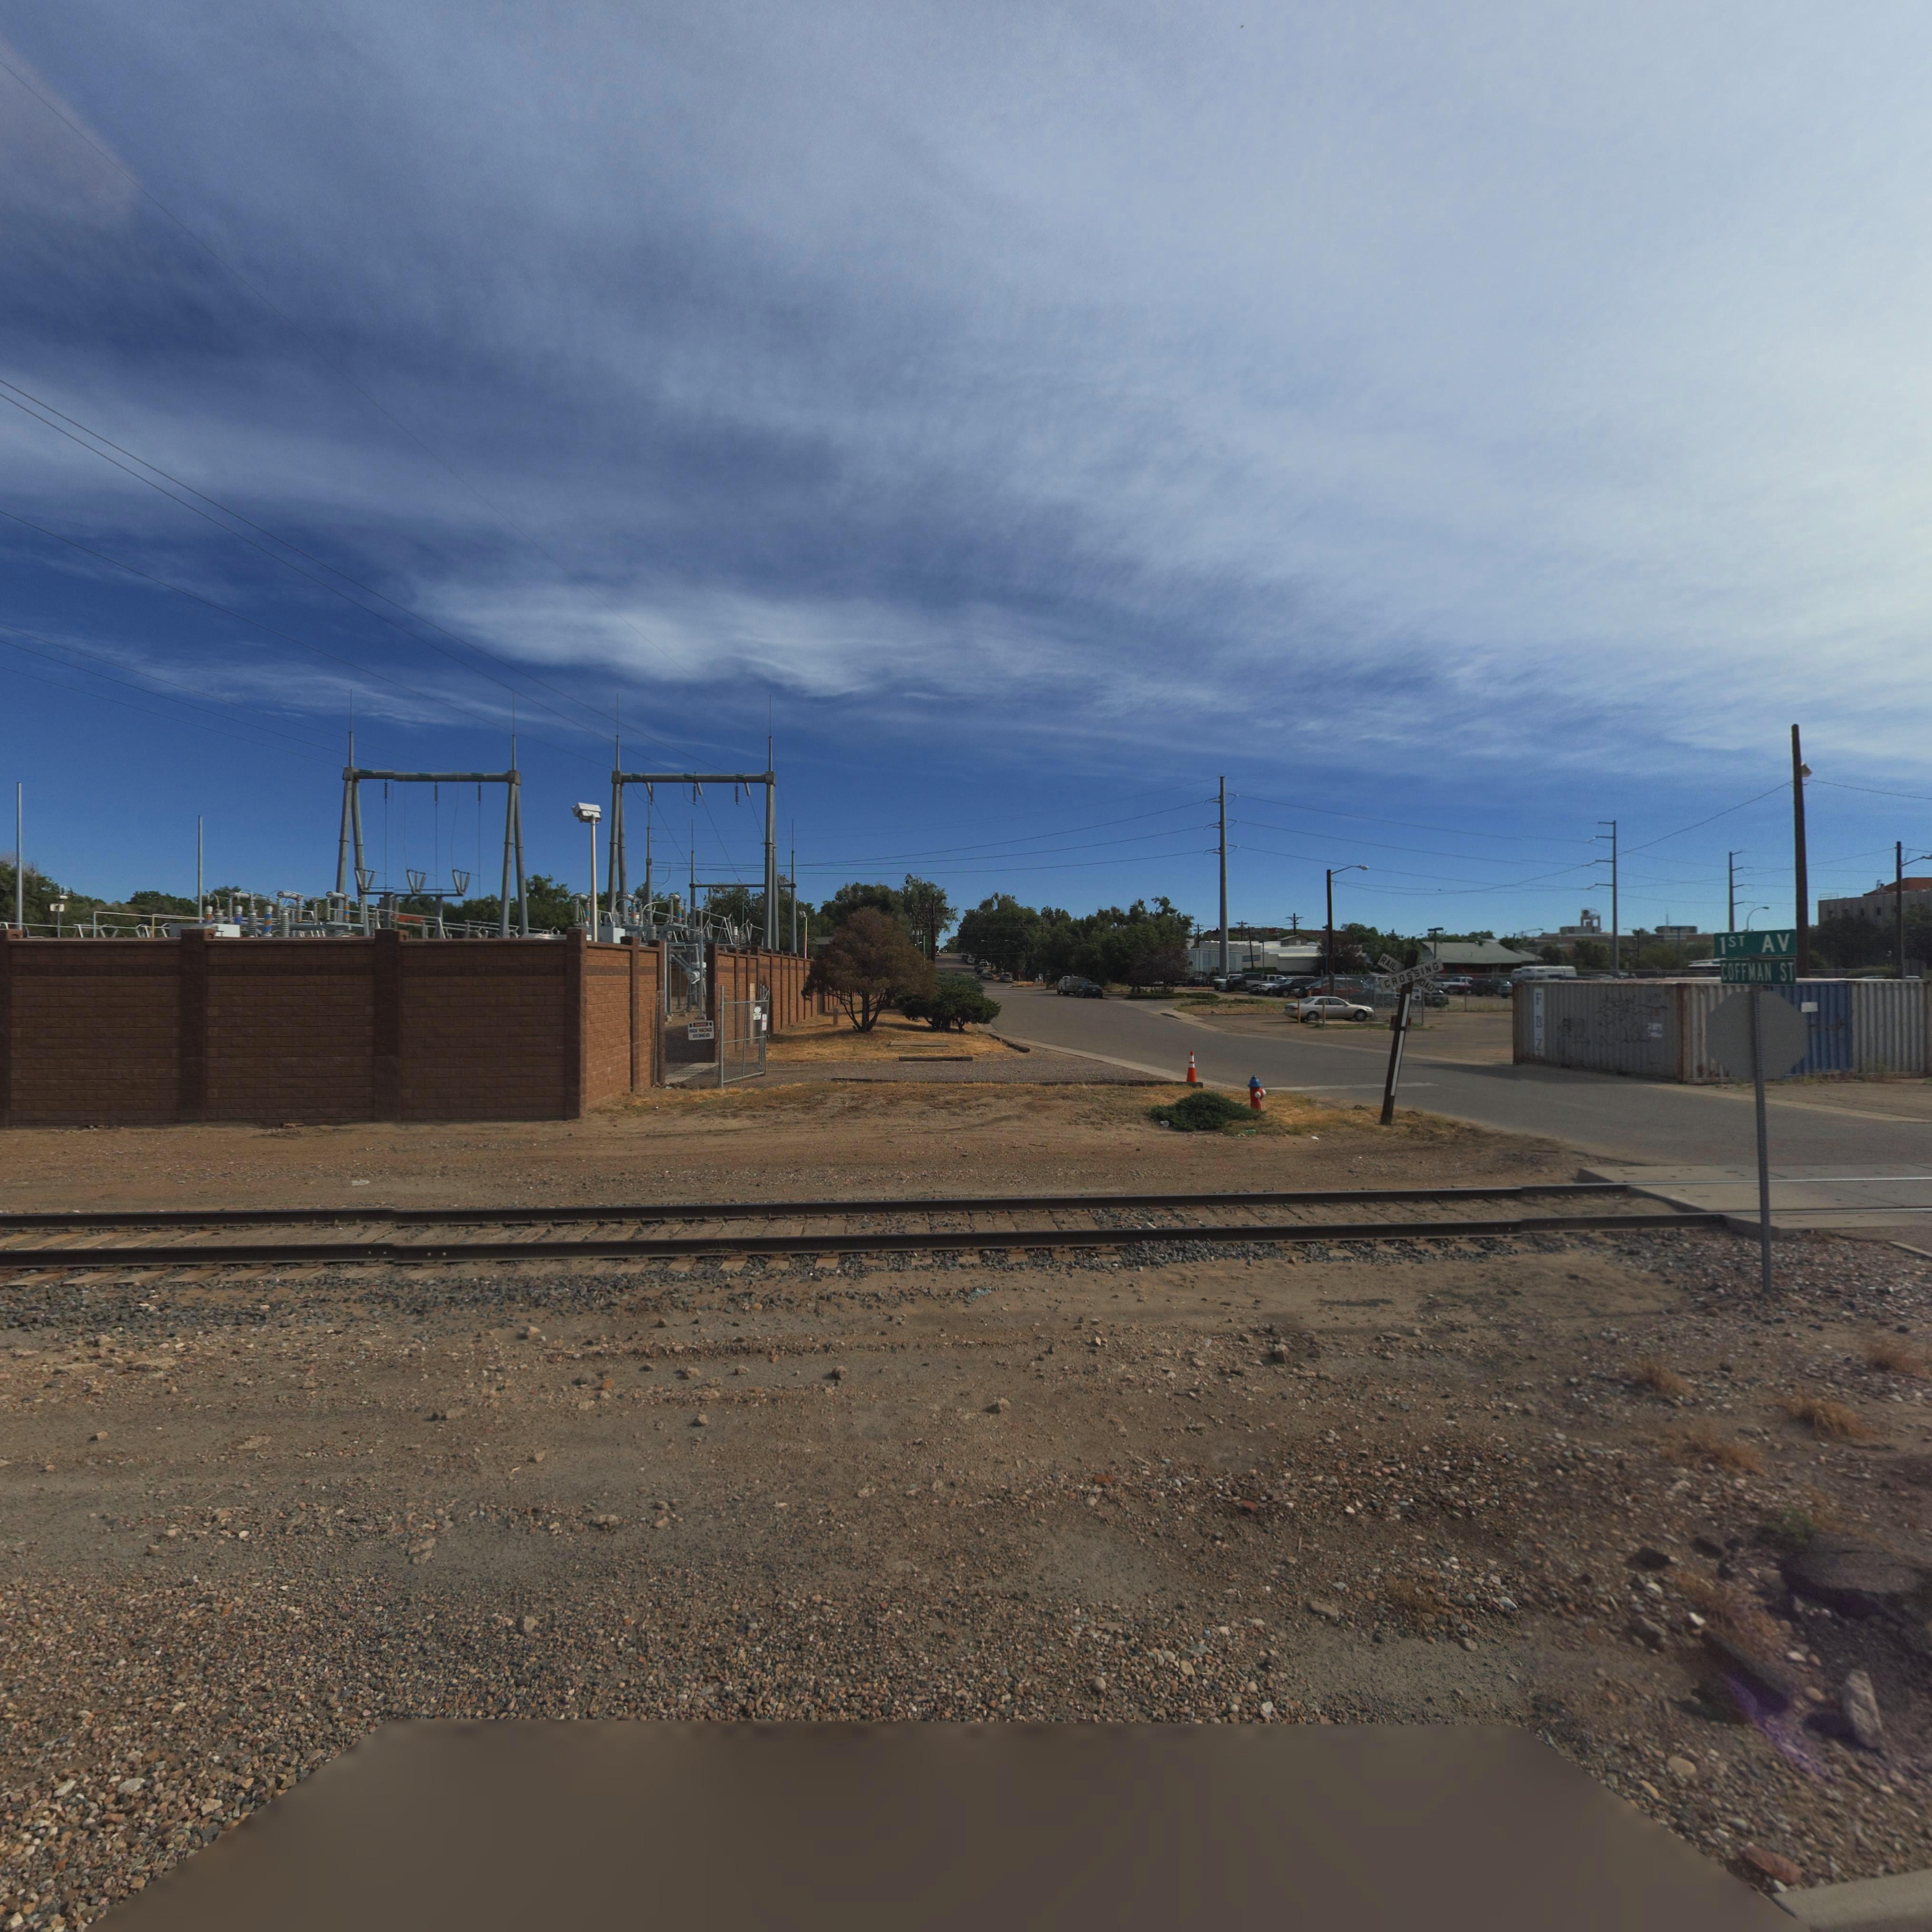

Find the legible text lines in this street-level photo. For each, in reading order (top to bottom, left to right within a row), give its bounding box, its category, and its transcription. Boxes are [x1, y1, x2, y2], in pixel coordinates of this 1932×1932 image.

[1718, 932, 1791, 955] StreetName: 1ST AV
[1720, 962, 1795, 983] StreetName: COFFMAN ST